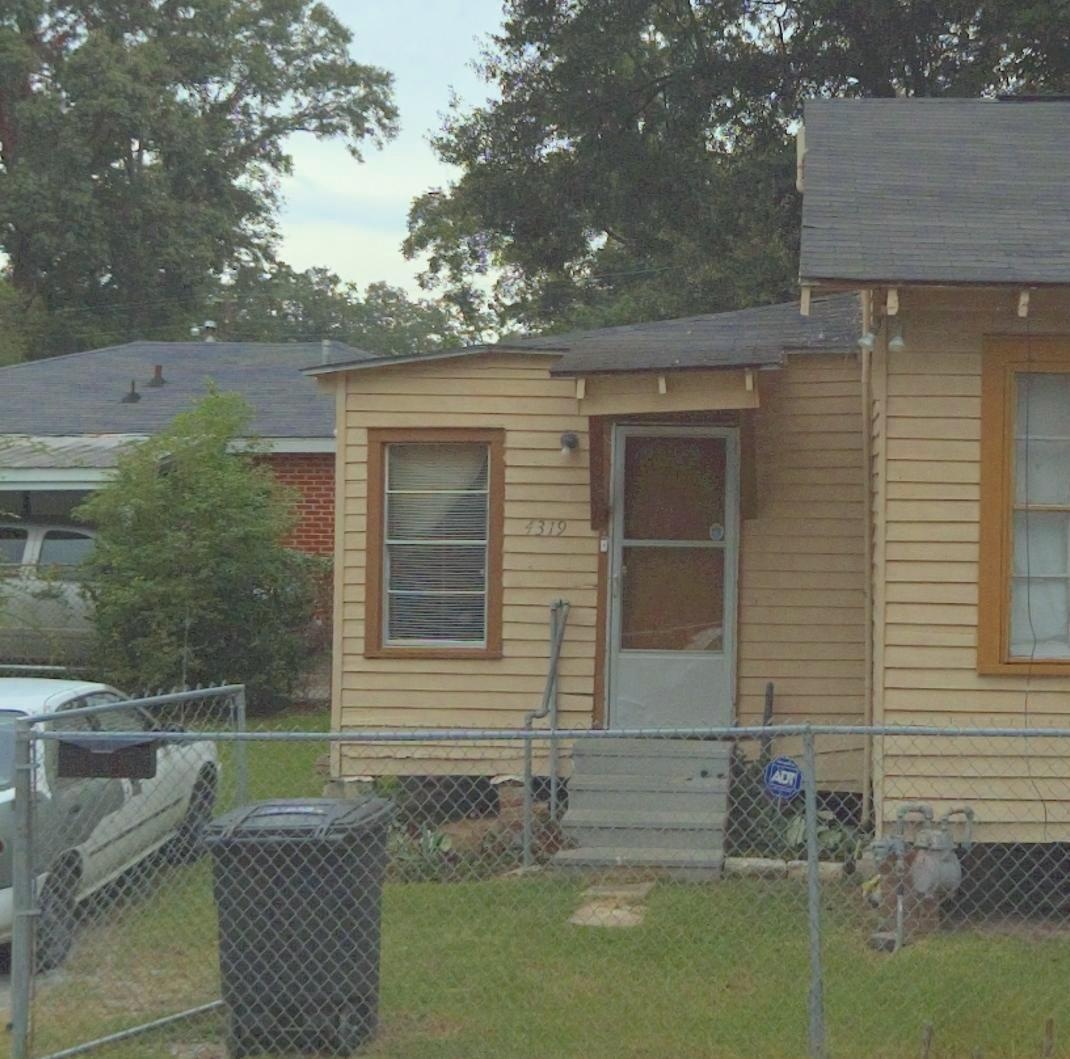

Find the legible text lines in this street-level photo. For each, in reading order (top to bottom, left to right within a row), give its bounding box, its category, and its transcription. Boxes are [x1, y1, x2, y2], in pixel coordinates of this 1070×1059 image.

[522, 518, 568, 537] StreetNumber: 4319
[769, 768, 799, 786] None: ADT